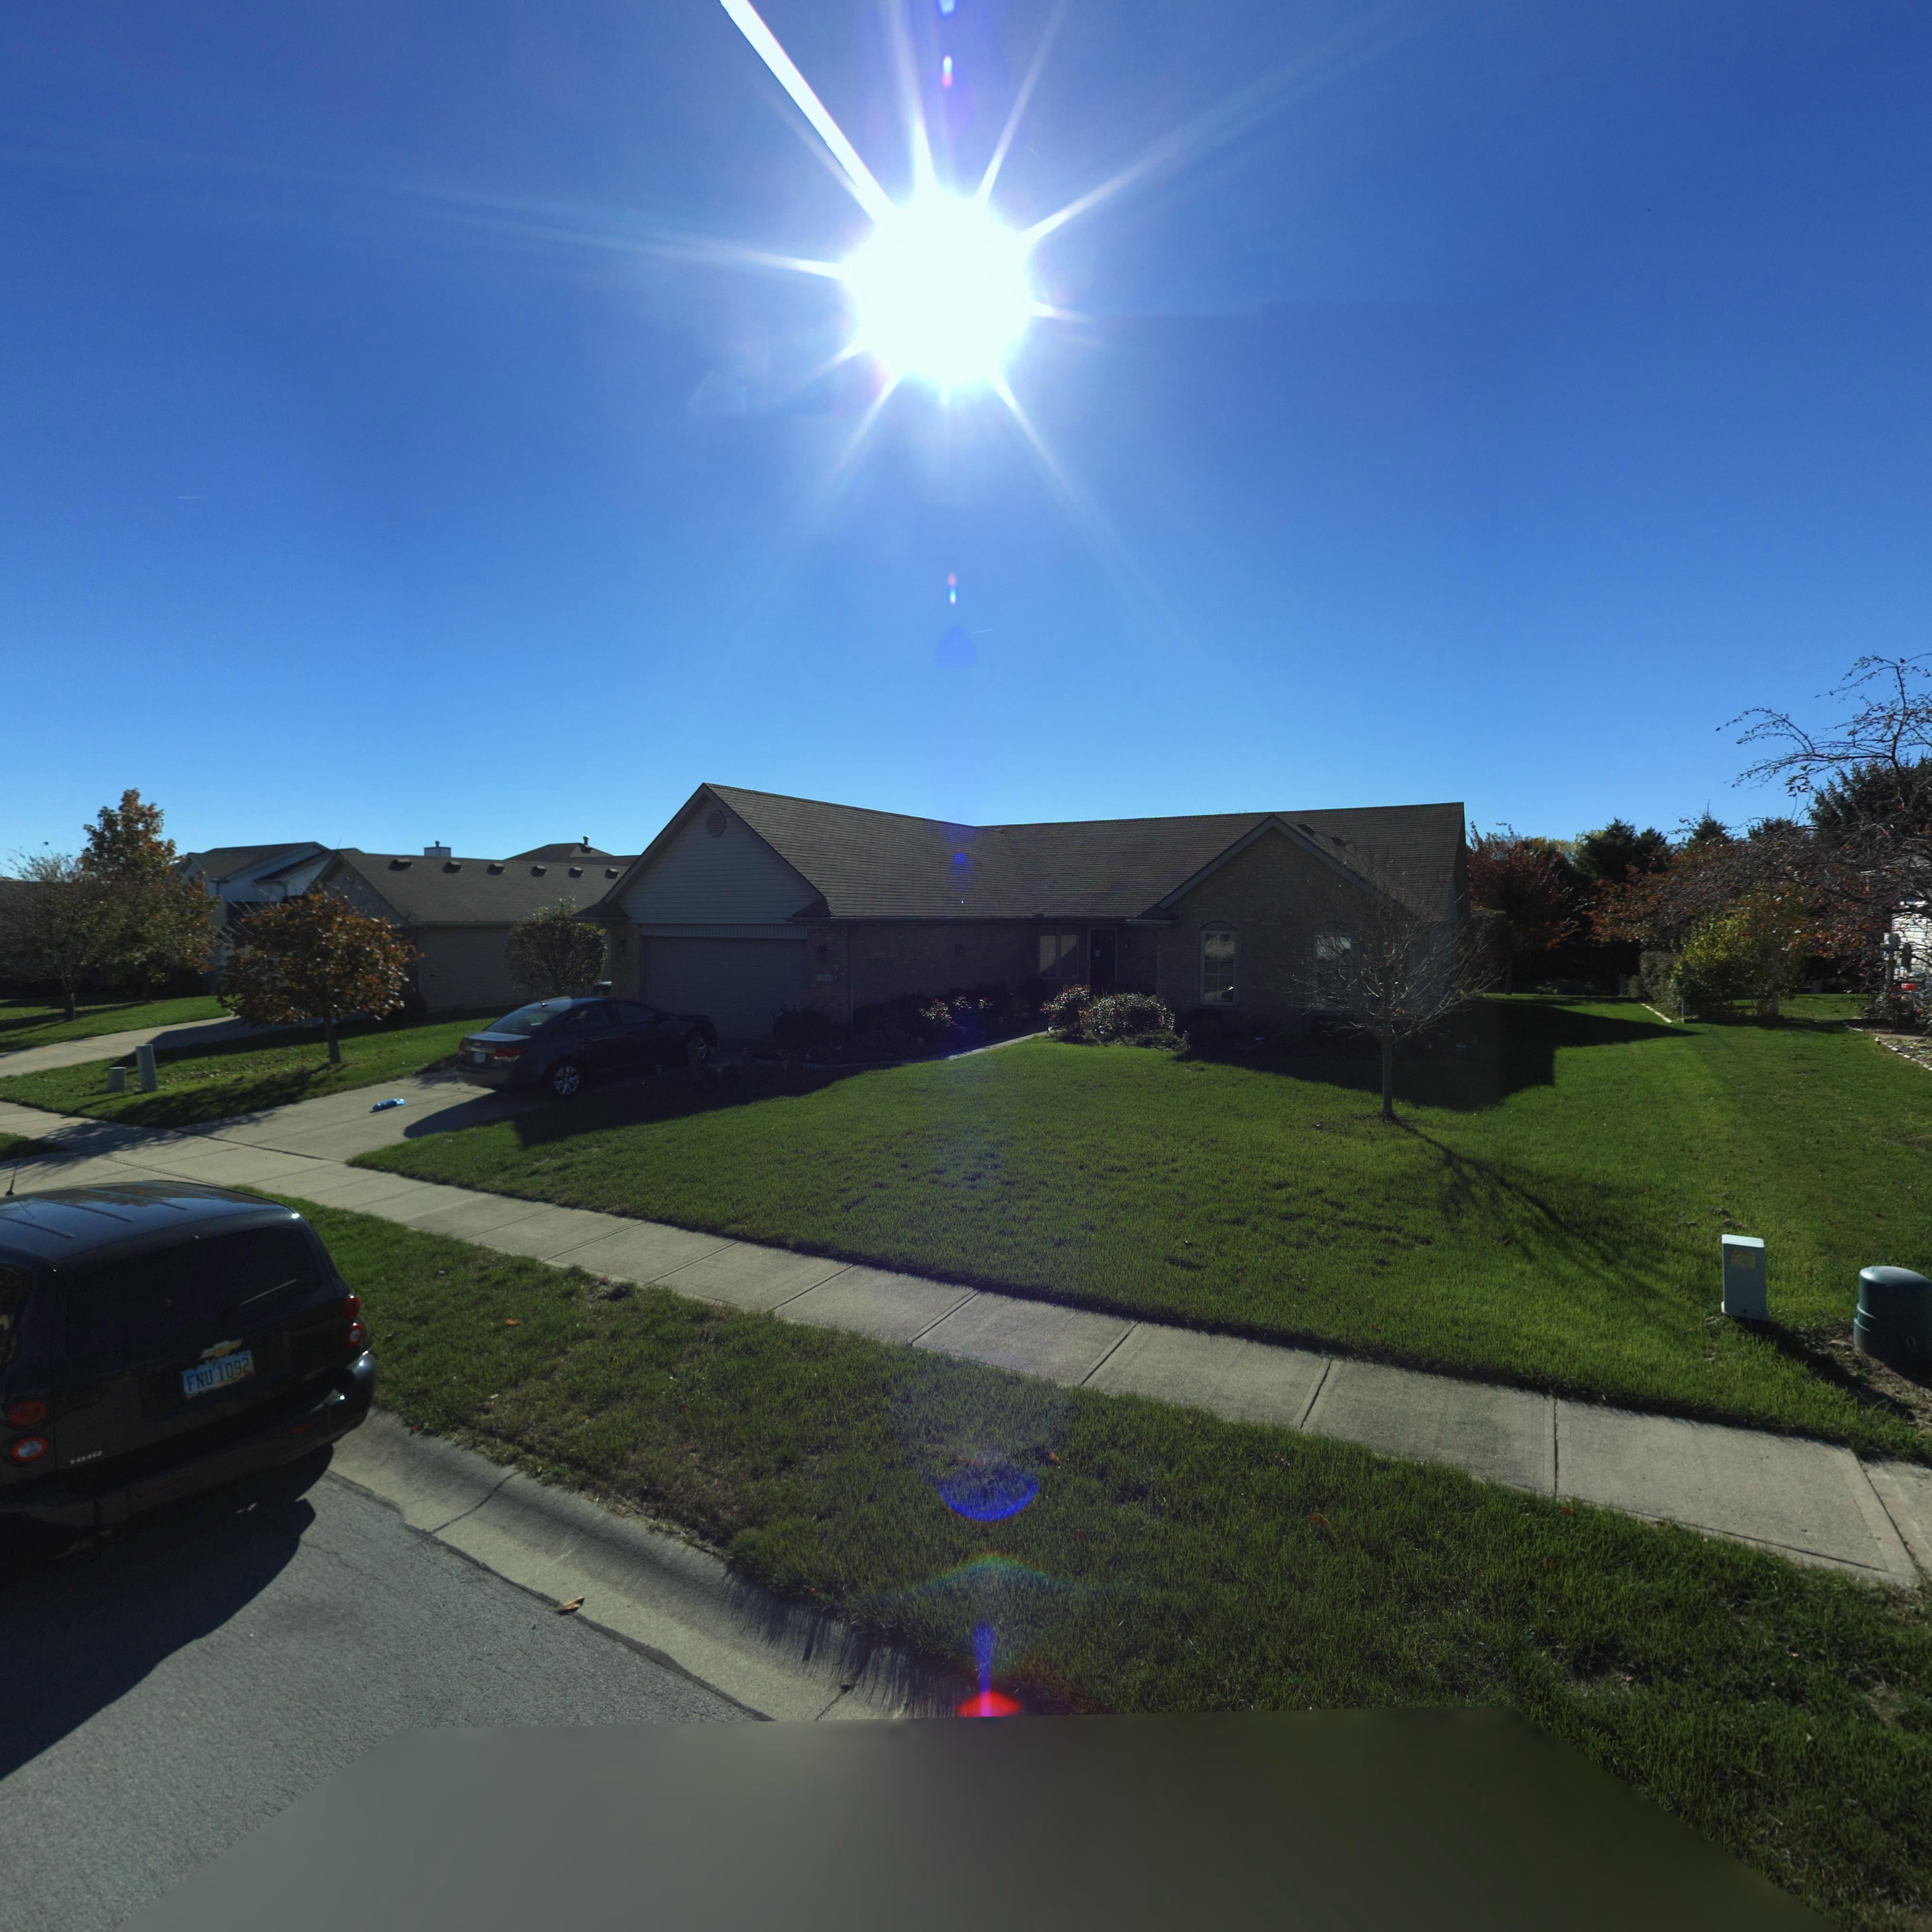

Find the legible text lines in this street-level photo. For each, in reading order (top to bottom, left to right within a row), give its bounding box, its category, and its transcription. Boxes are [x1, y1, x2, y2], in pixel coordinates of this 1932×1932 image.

[821, 975, 829, 981] StreetNumber: 135
[184, 1353, 253, 1395] None: FNU 1092